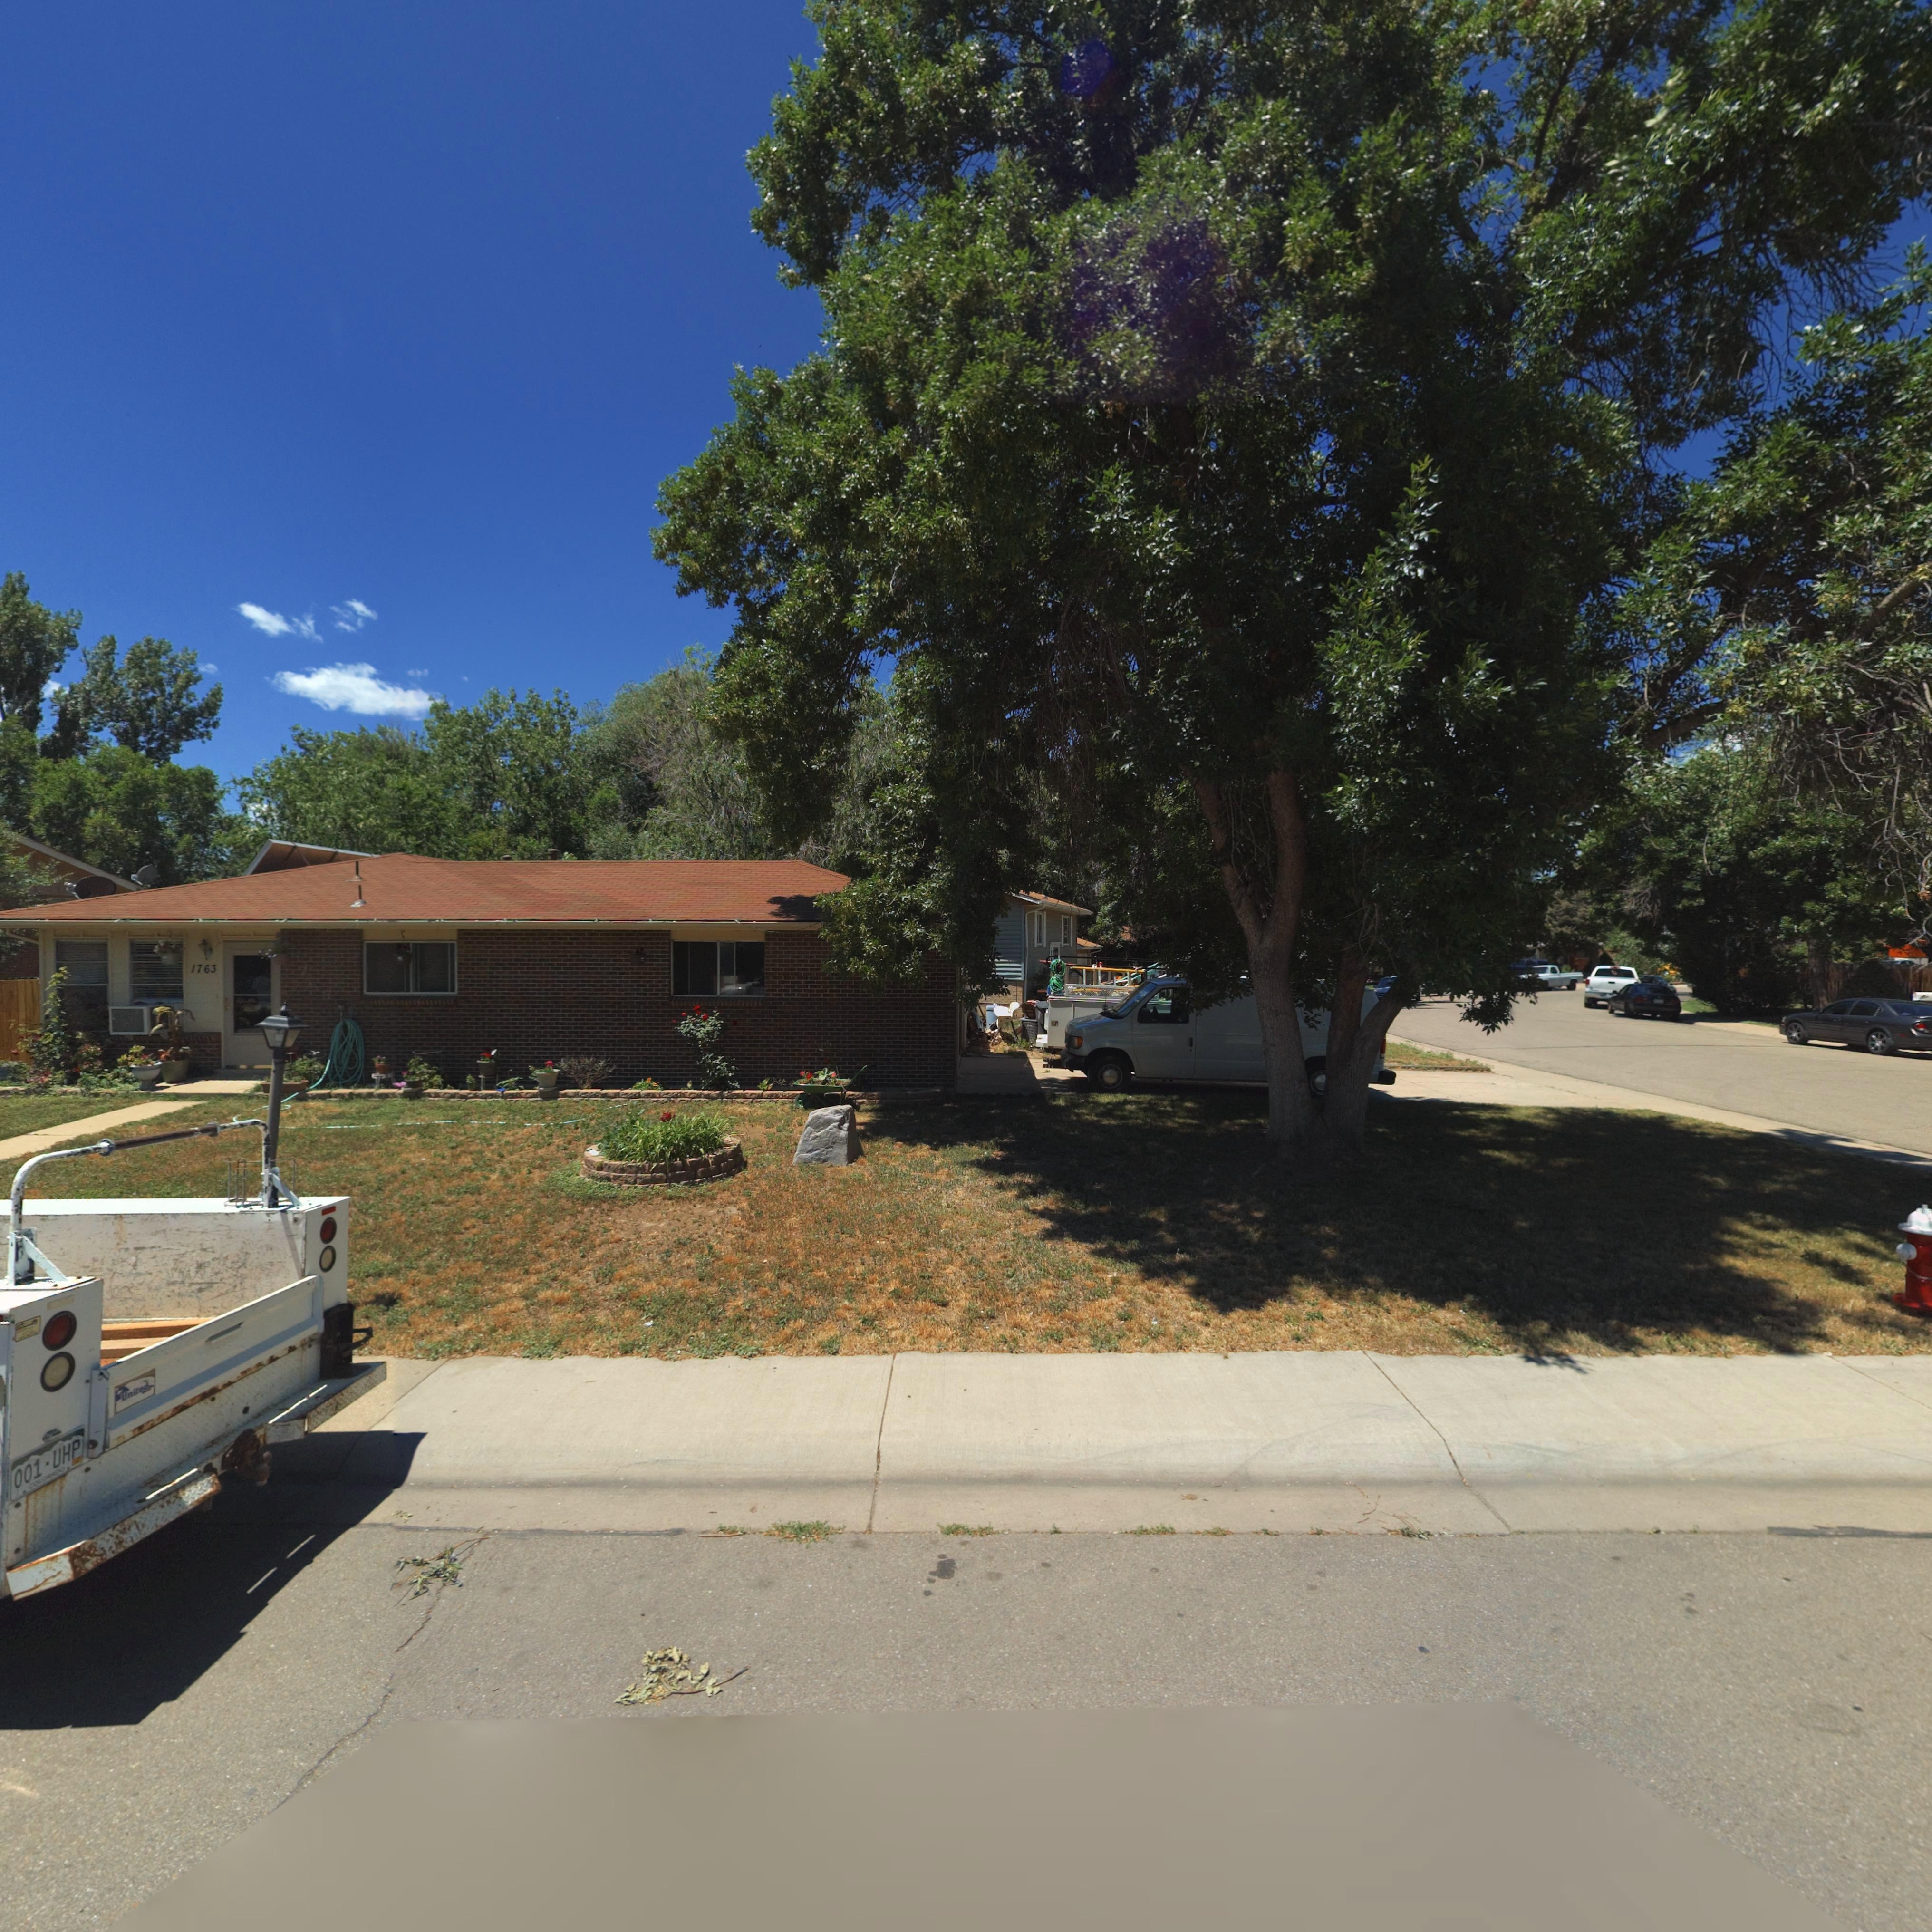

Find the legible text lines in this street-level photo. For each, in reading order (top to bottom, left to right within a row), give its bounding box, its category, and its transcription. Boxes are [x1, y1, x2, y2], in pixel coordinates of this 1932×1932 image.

[190, 964, 216, 974] StreetNumber: 1763